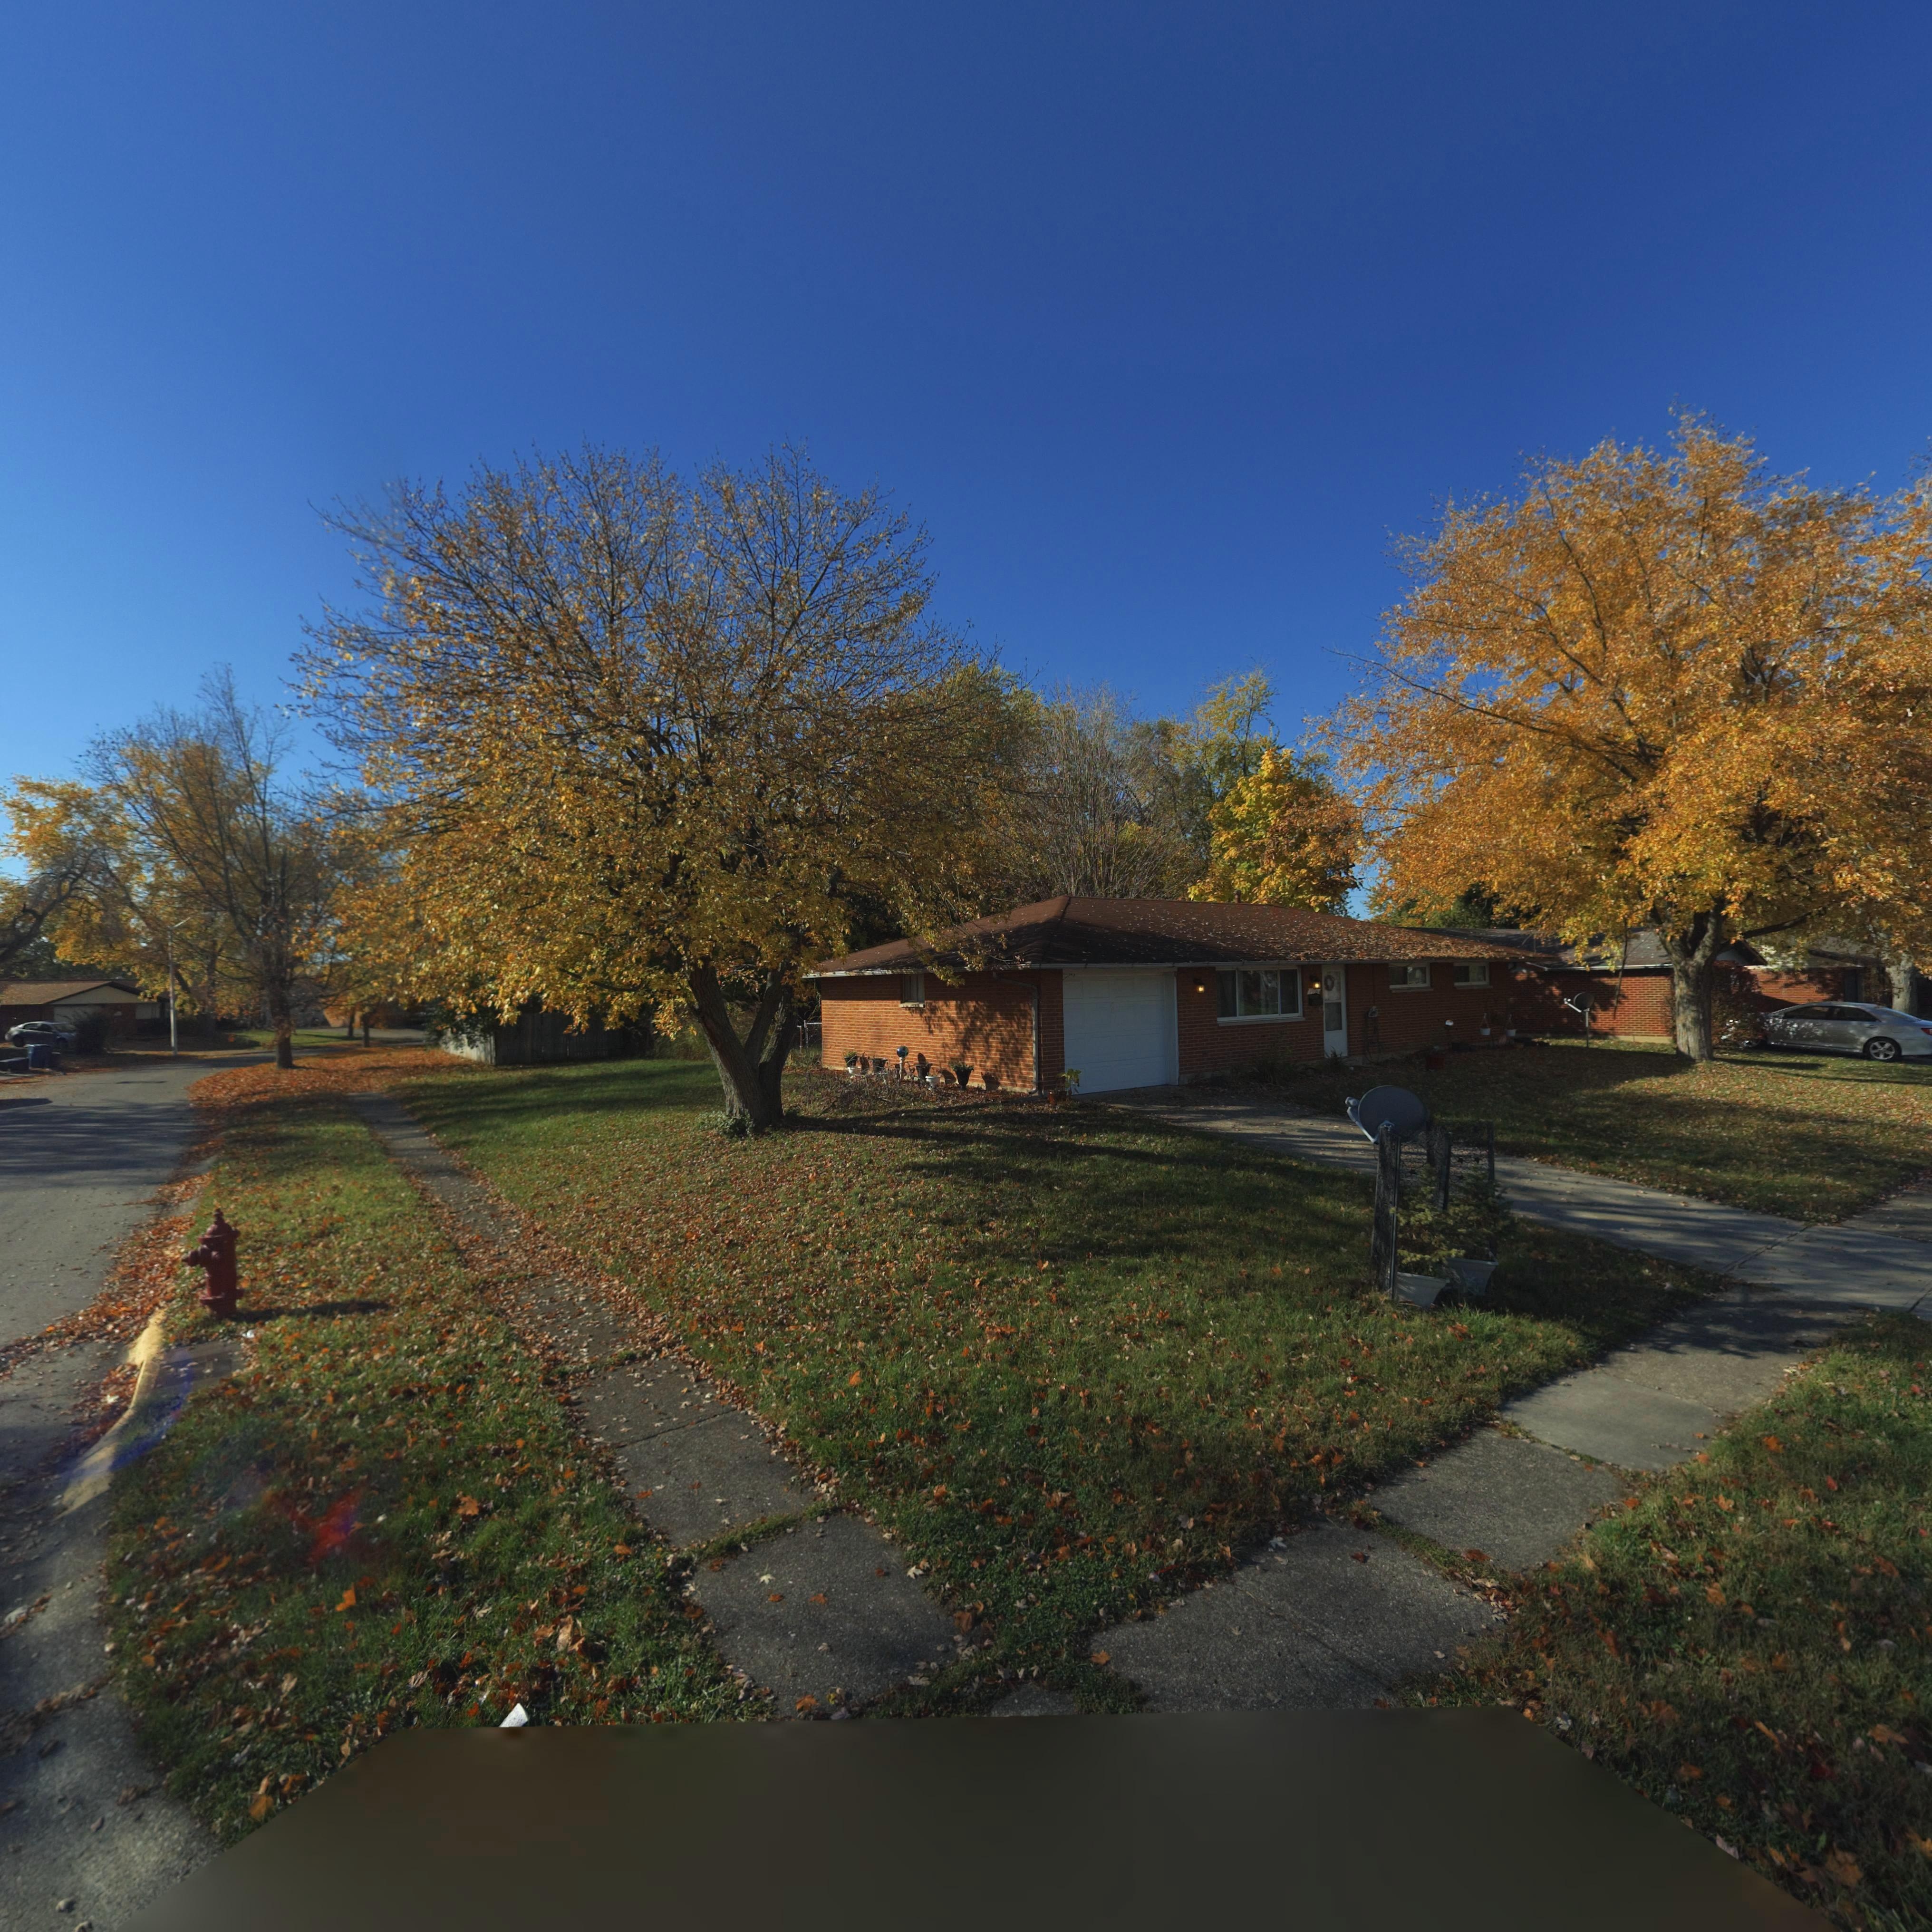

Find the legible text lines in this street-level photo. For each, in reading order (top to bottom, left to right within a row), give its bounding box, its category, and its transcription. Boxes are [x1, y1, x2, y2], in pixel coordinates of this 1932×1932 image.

[1309, 989, 1320, 995] StreetNumber: 799*